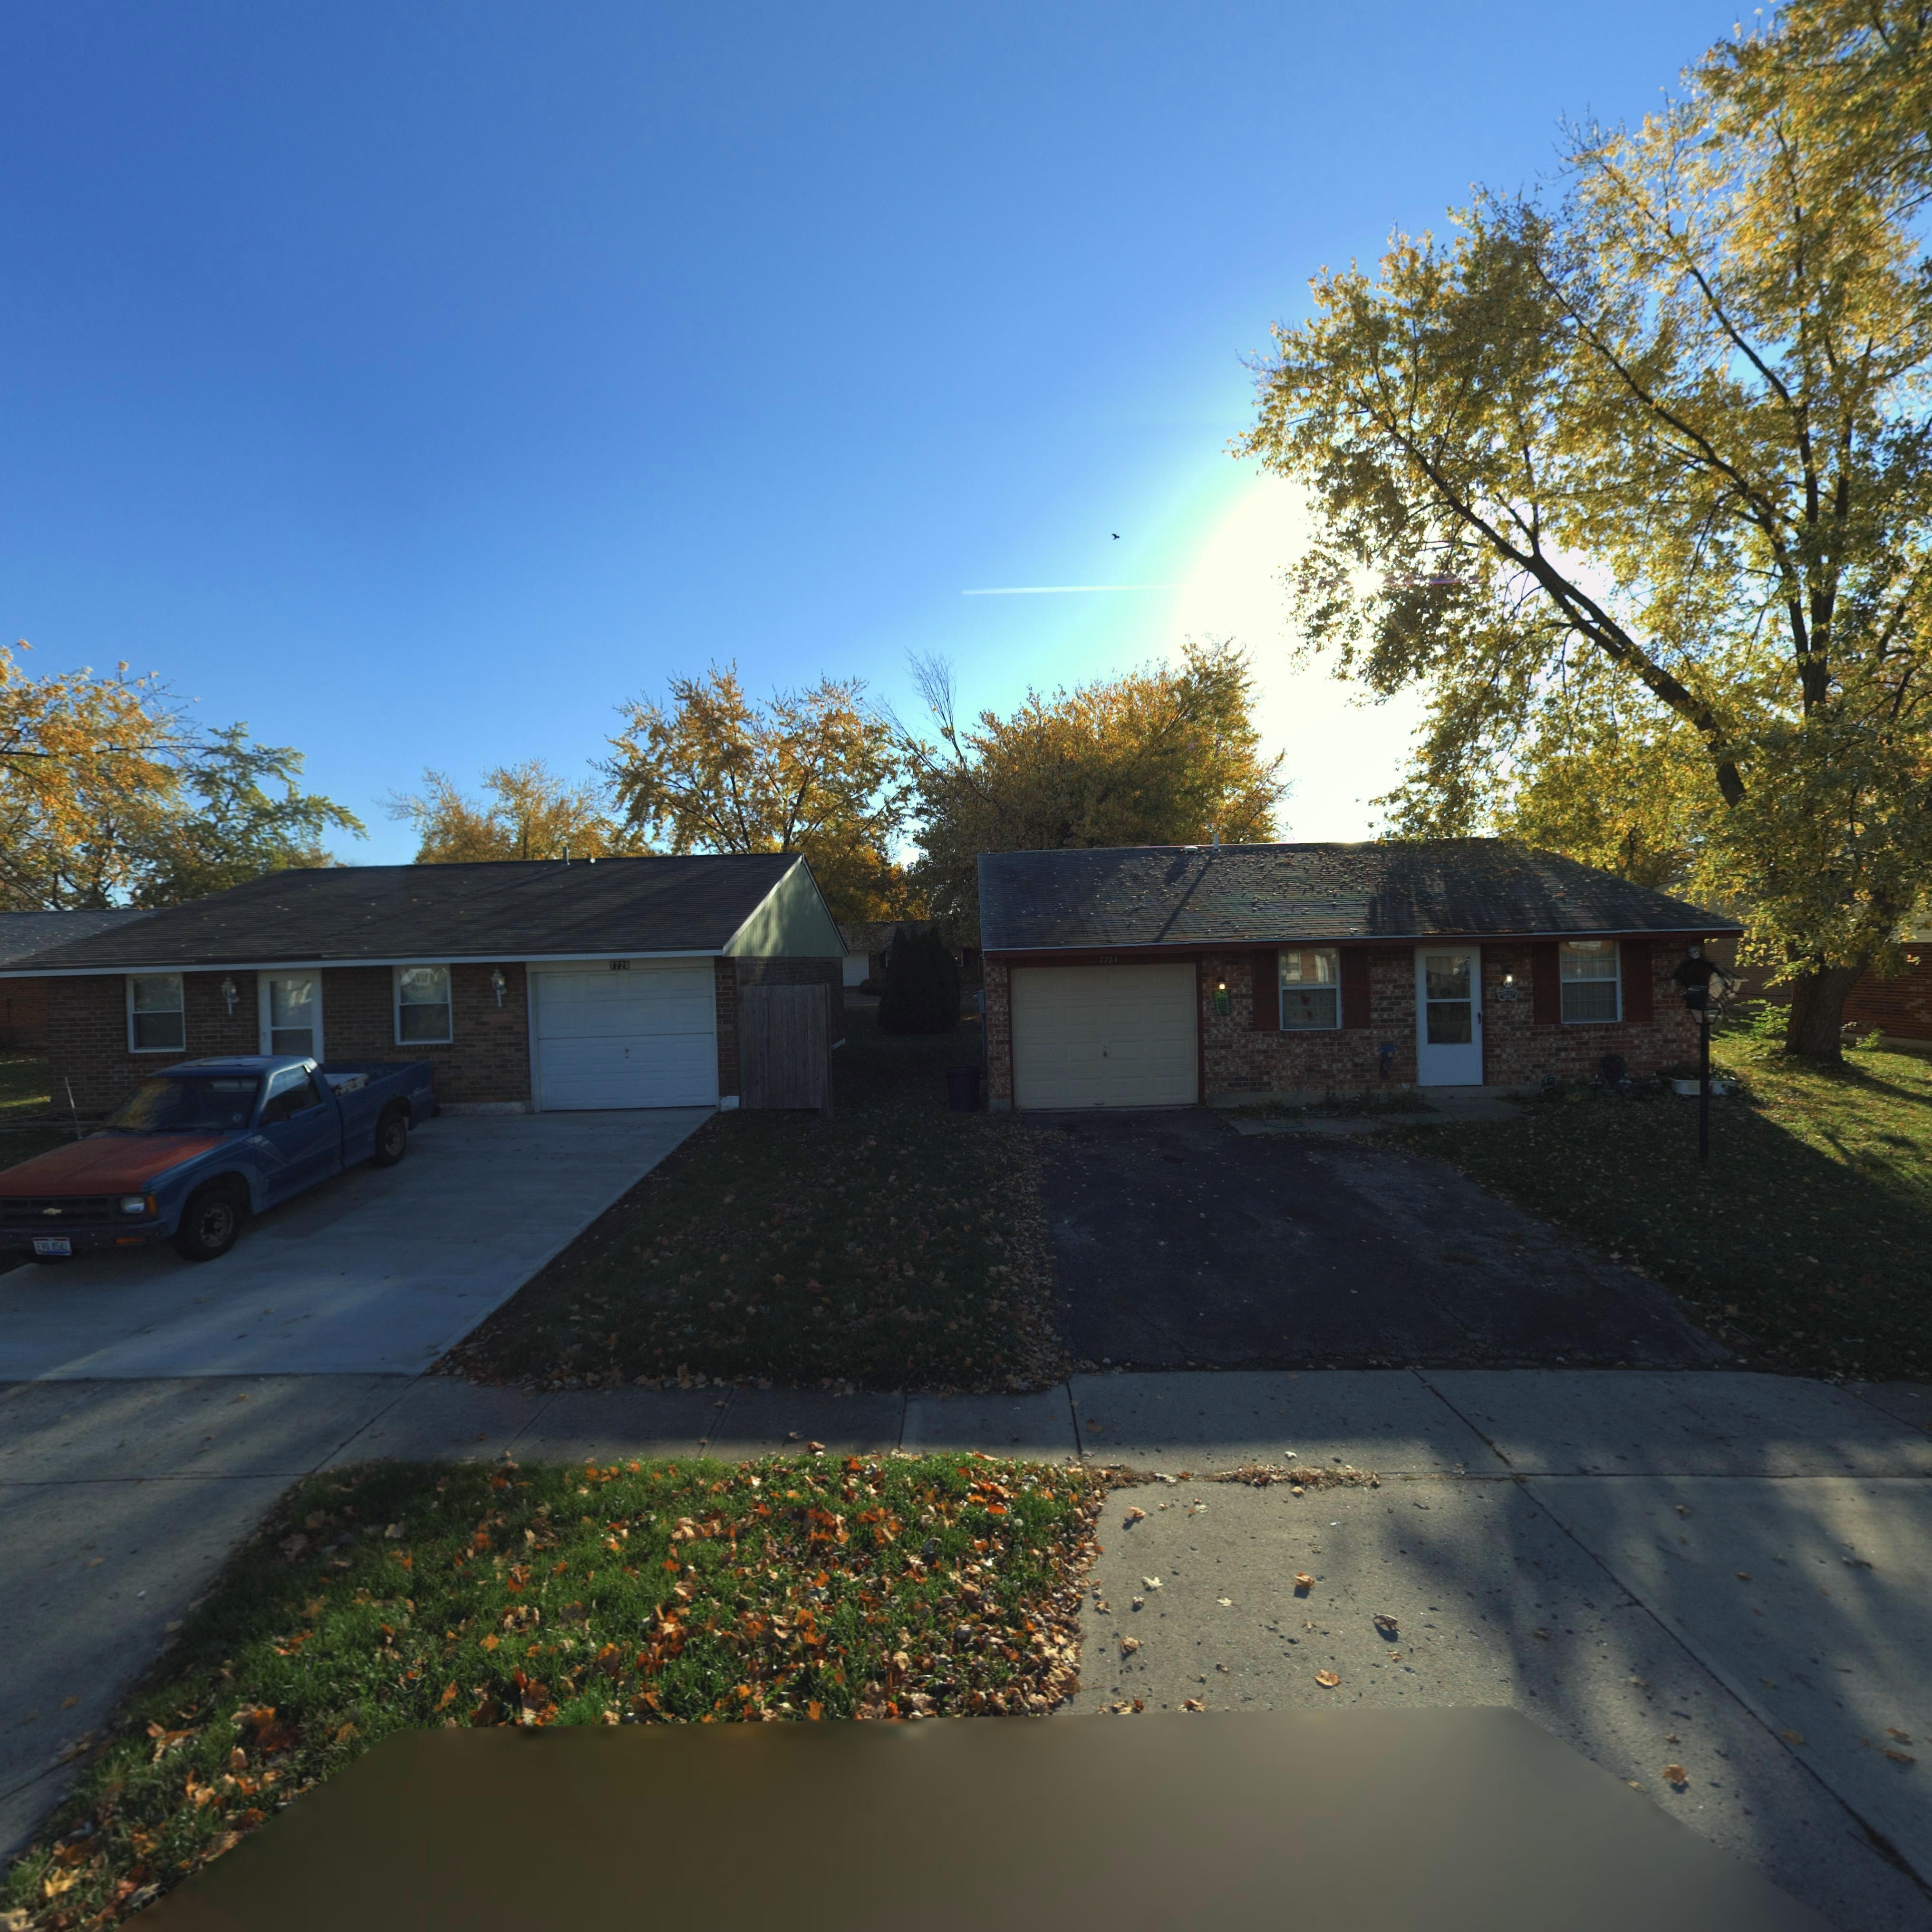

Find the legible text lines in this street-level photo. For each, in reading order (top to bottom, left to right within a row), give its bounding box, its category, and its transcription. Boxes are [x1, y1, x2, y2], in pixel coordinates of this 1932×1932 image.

[608, 960, 630, 971] StreetNumber: 7728
[1098, 956, 1119, 965] StreetNumber: 7724
[34, 1241, 67, 1253] None: *** 4541